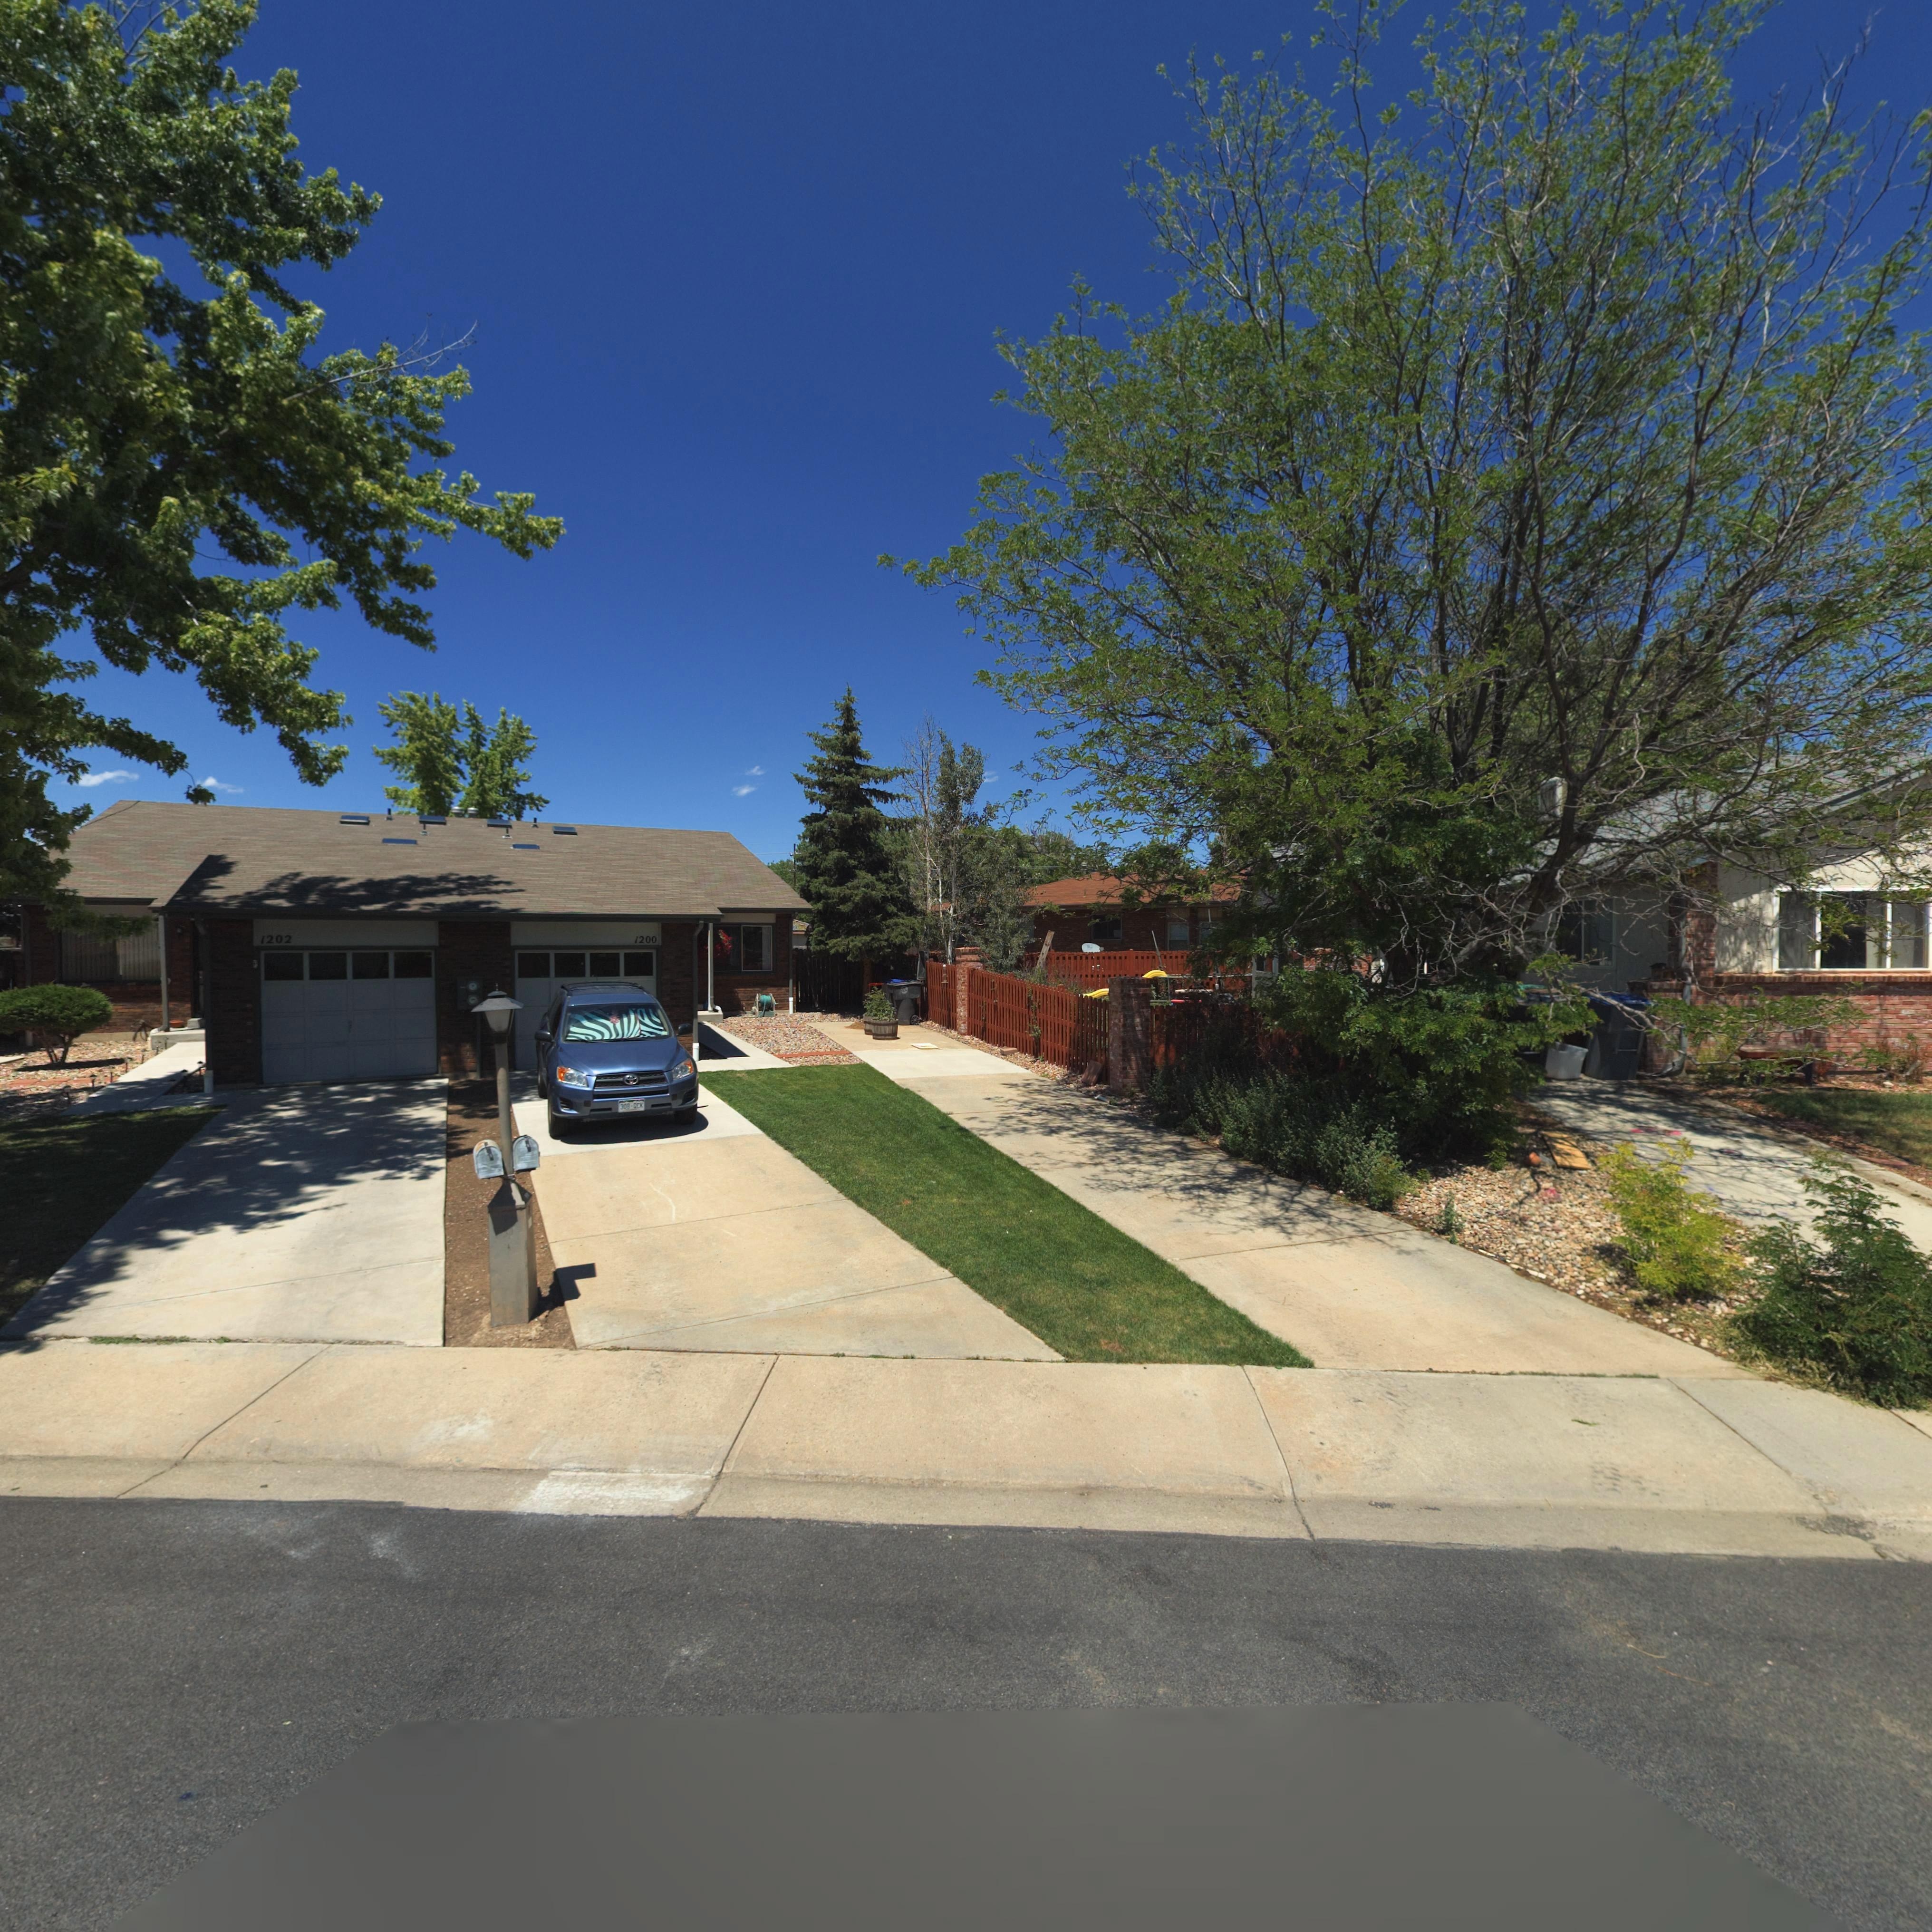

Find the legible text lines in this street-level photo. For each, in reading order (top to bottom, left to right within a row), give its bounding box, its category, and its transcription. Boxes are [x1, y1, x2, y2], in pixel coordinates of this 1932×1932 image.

[259, 935, 292, 945] StreetNumber: 1202
[634, 936, 657, 944] StreetNumber: 1200